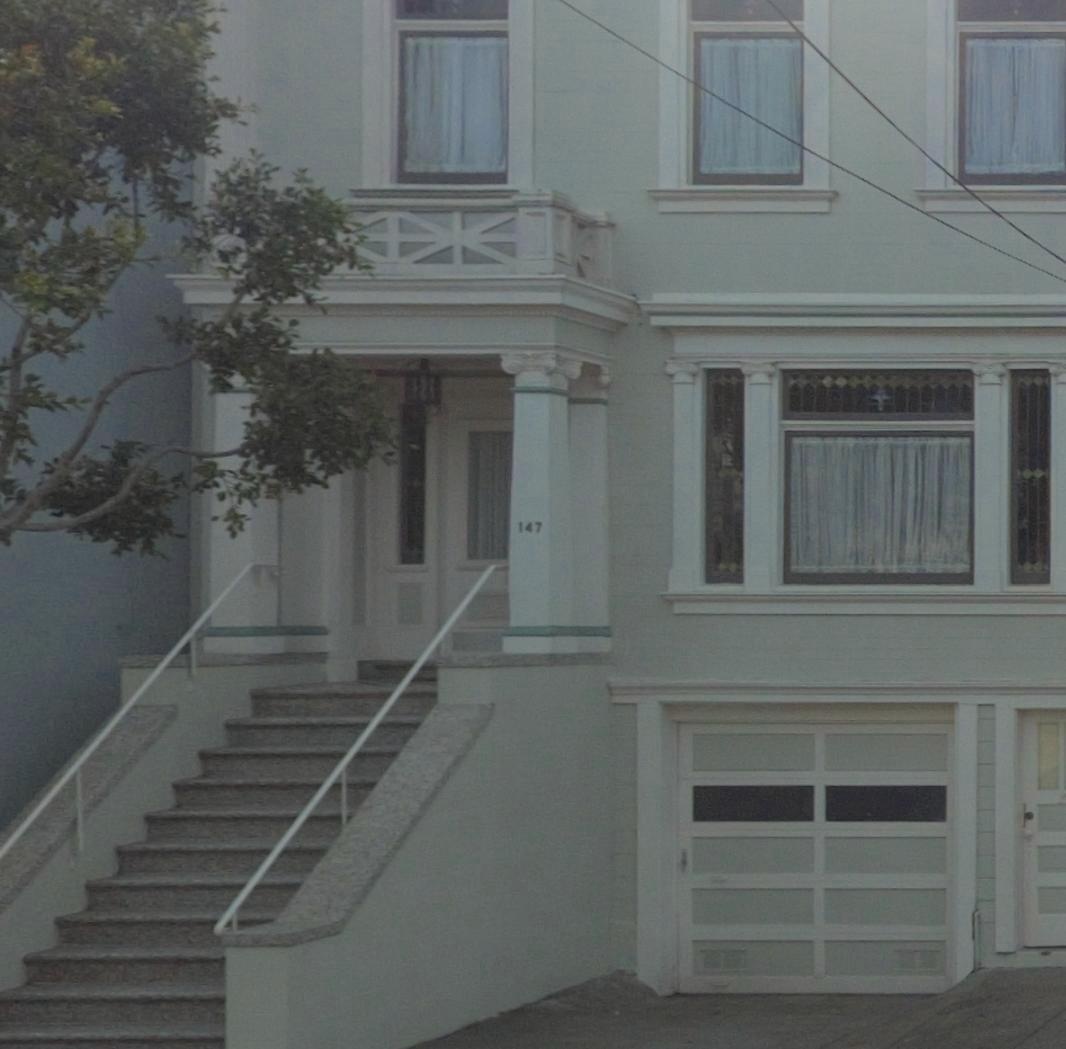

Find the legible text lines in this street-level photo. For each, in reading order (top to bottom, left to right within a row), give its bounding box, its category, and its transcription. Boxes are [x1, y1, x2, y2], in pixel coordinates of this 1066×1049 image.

[518, 520, 543, 535] StreetNumber: 147